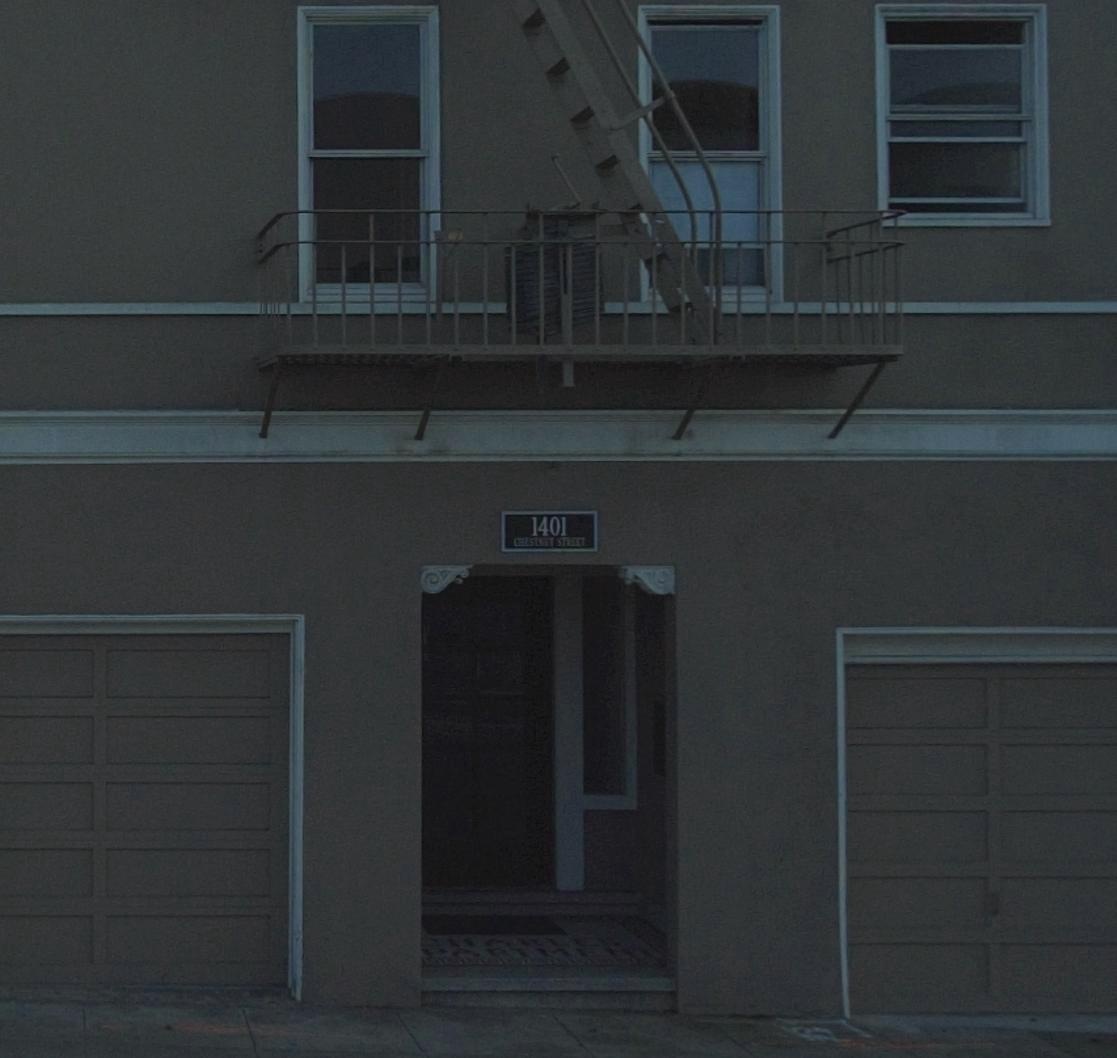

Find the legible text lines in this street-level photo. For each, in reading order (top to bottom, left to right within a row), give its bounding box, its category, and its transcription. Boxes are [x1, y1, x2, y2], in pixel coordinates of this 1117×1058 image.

[529, 514, 569, 539] StreetNumber: 1401
[509, 533, 586, 548] StreetName: CRES**** ST*EET